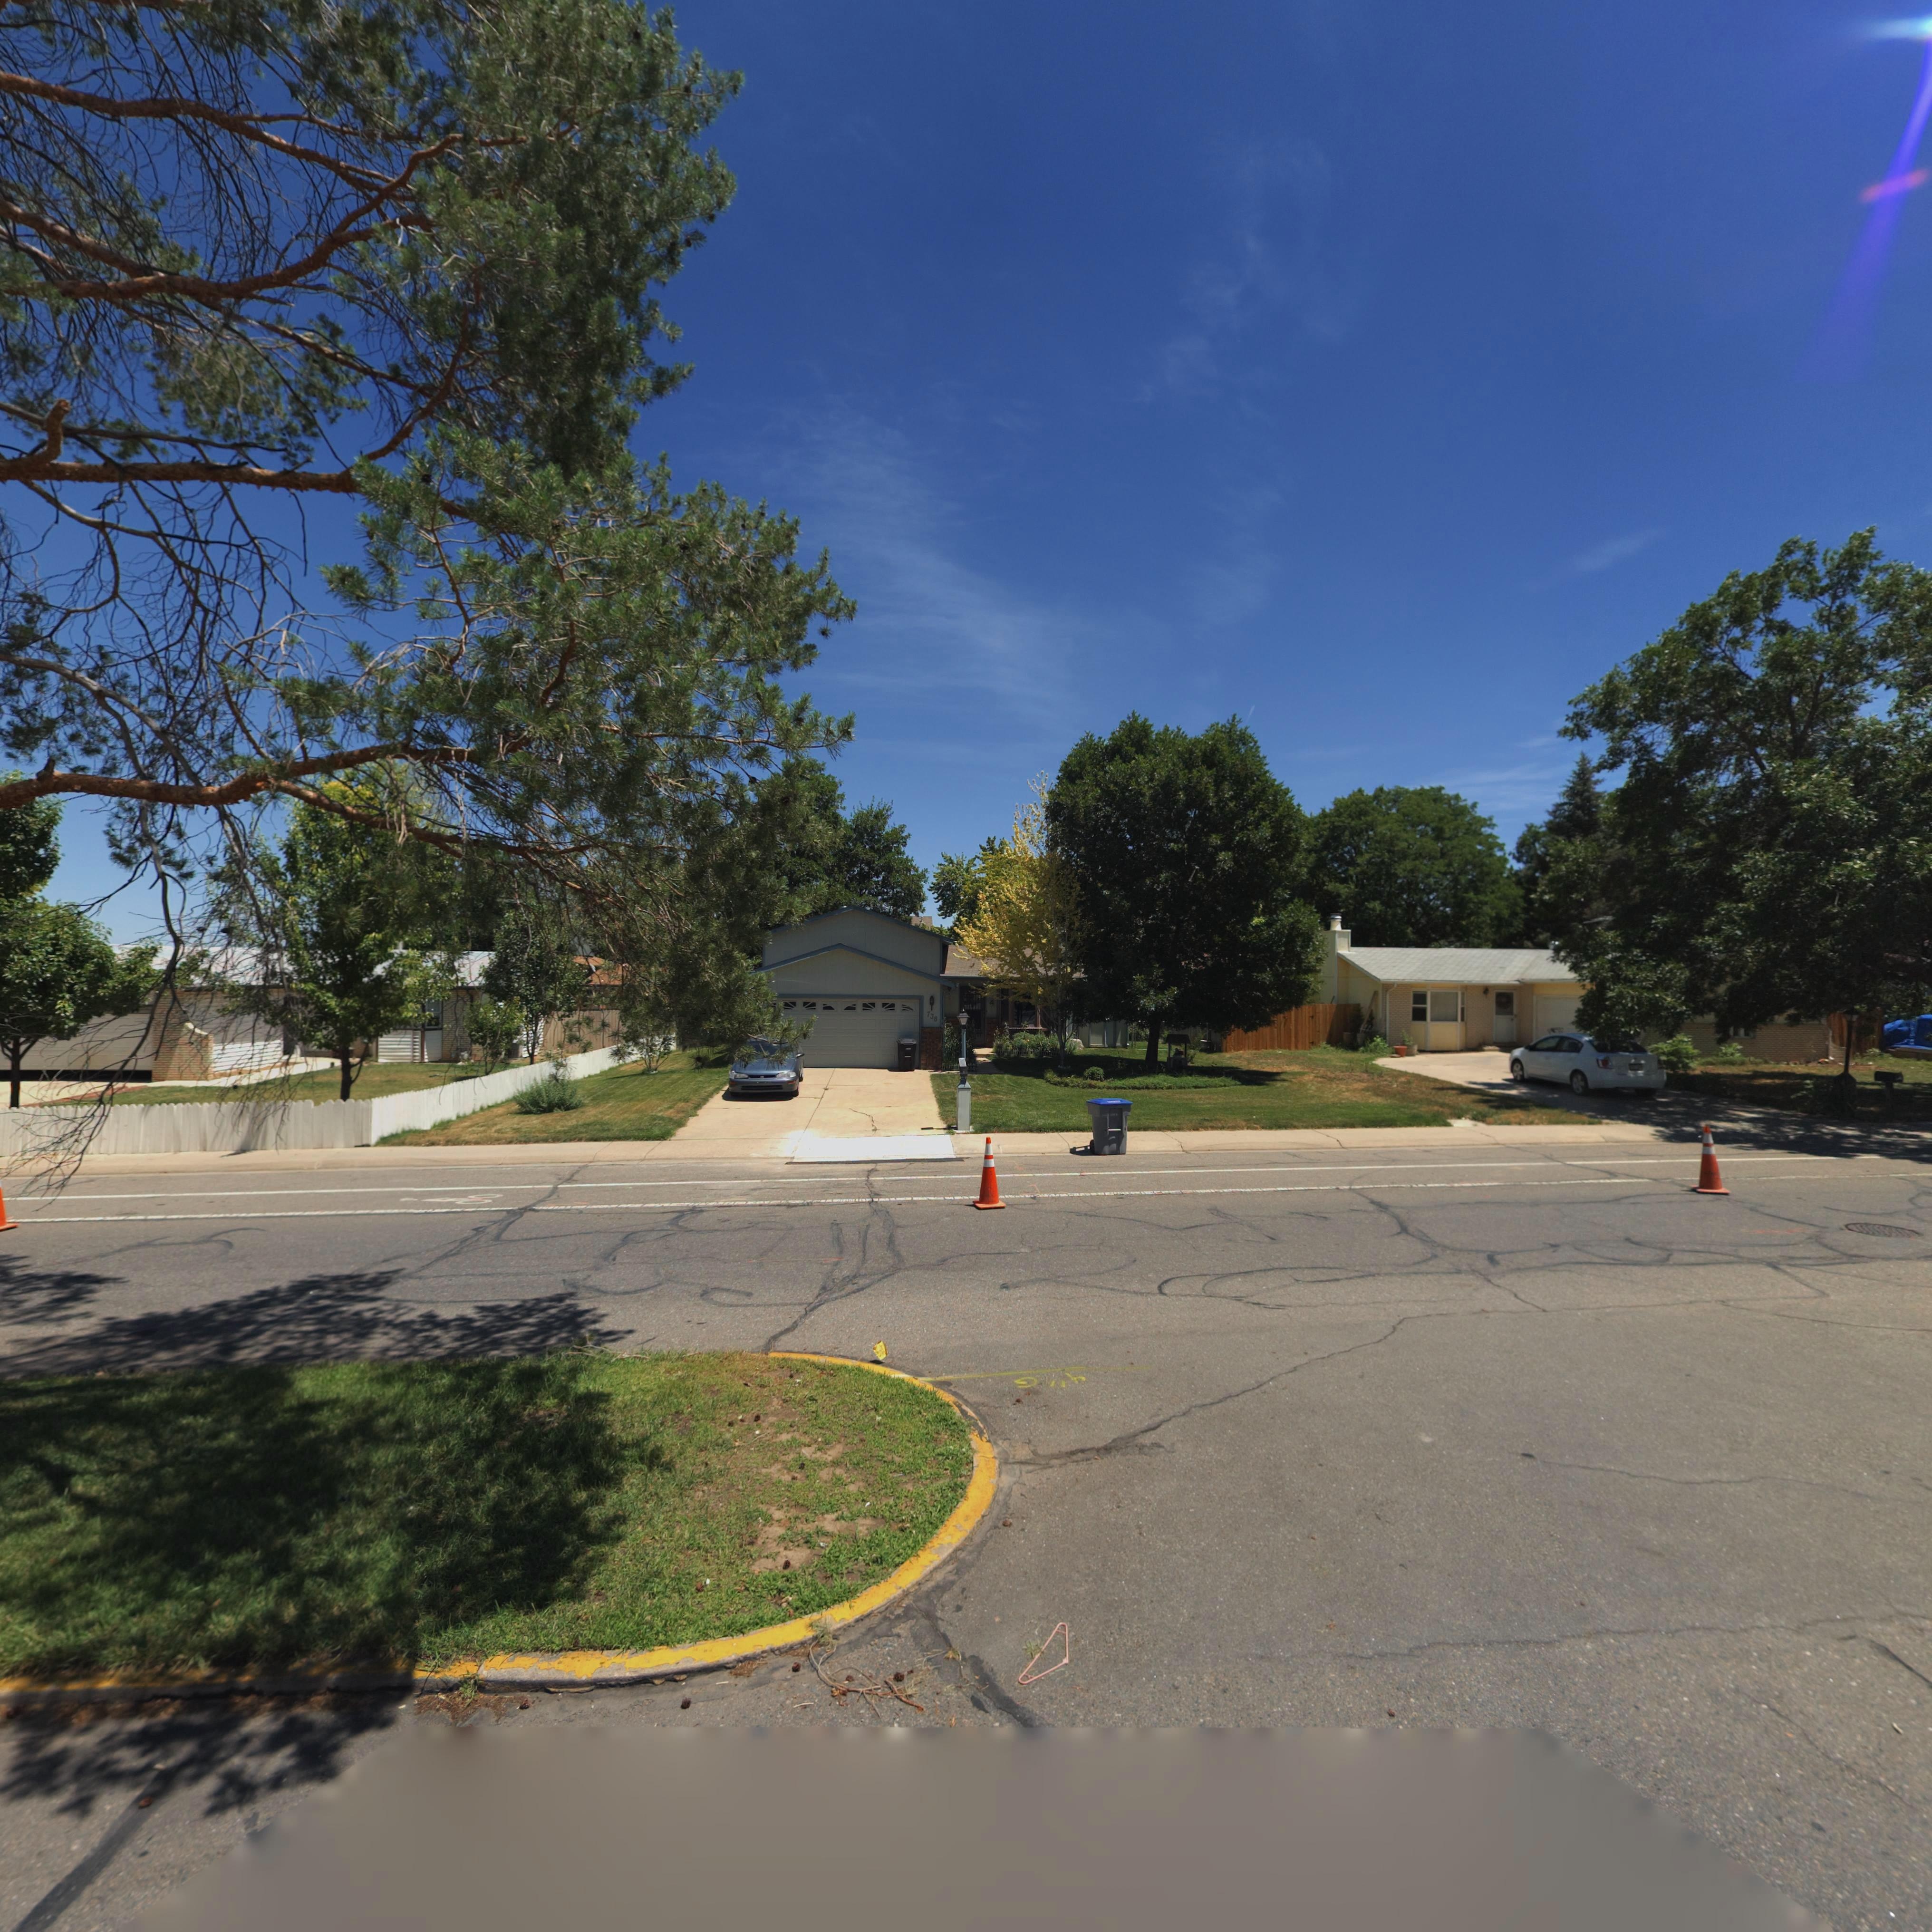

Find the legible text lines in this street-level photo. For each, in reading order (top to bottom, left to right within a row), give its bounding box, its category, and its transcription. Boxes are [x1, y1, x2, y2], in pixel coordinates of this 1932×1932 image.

[926, 1011, 938, 1022] StreetNumber: 738